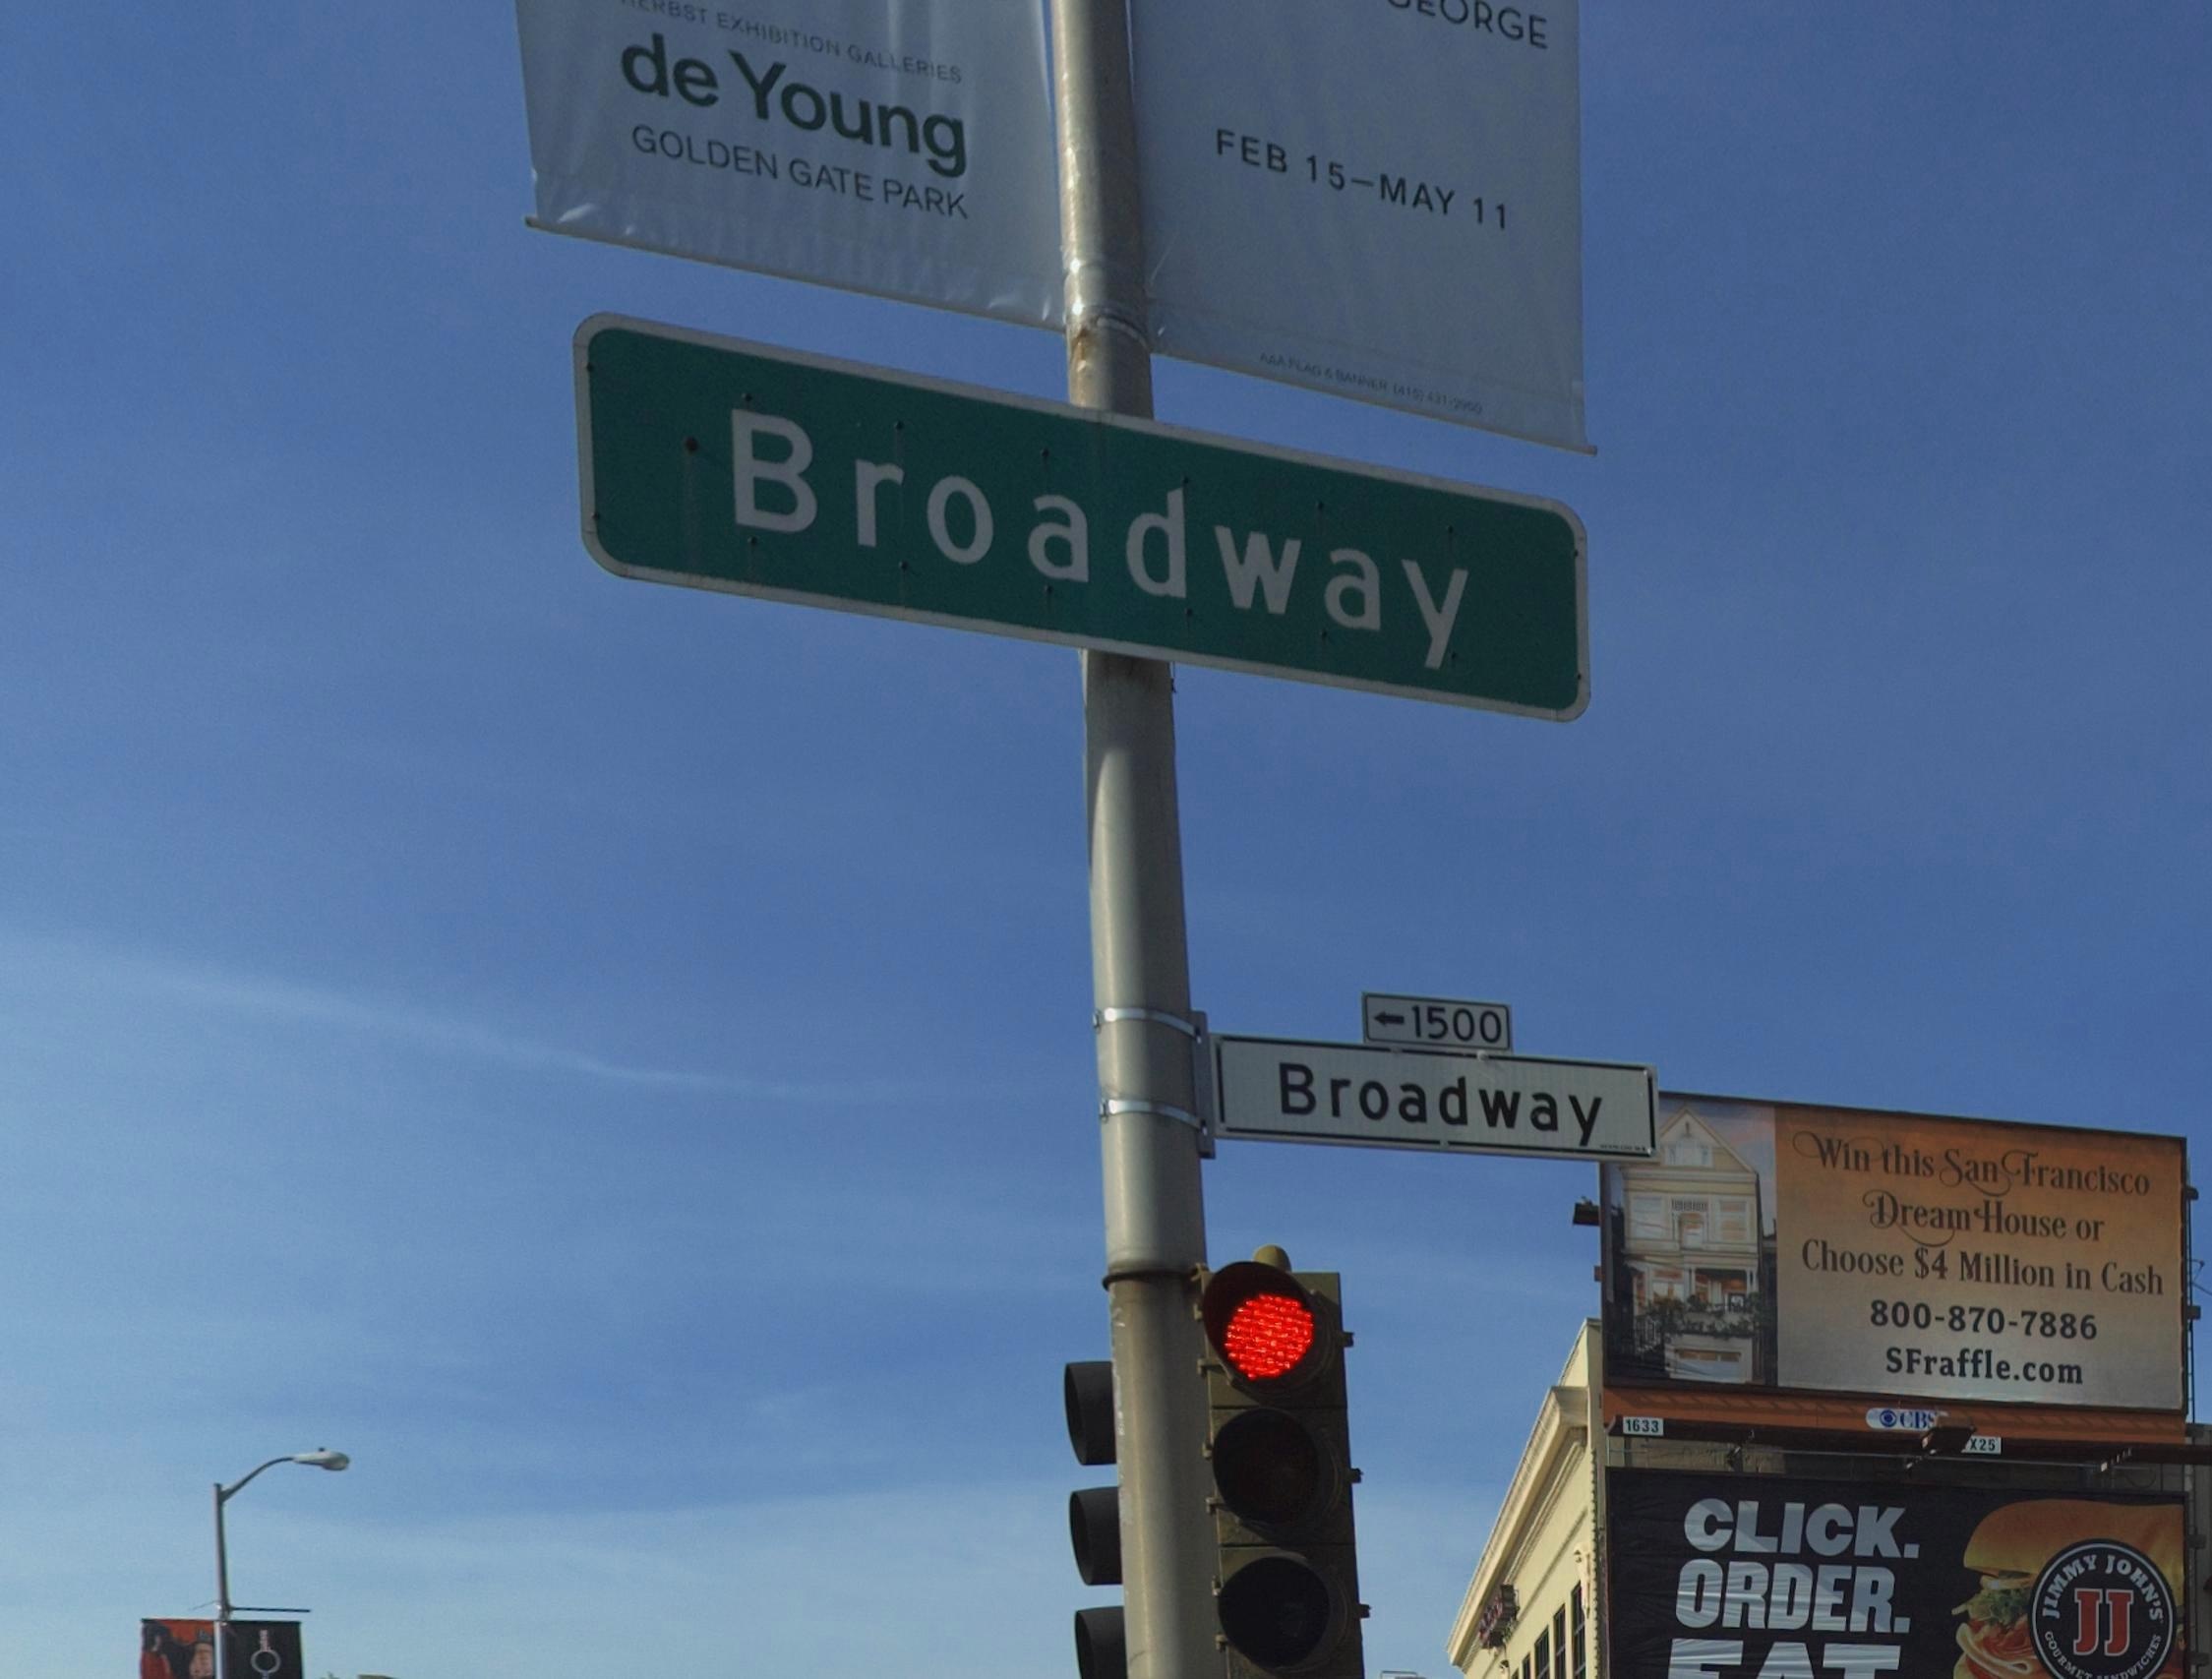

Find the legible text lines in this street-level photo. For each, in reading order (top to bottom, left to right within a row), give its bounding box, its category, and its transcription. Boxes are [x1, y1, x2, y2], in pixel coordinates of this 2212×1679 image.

[680, 0, 967, 89] None: ST EXHIBITION GALLERIES
[1493, 1, 1552, 57] None: GE
[614, 25, 972, 183] None: de Young
[628, 116, 973, 225] None: GOLDEN GATE PARK
[1210, 115, 1513, 238] None: FEB 15-MAY 11
[719, 386, 1494, 682] StreetName: Broadway
[1366, 996, 1506, 1049] StreetNumberRange: <-1500
[1274, 1055, 1619, 1154] StreetName: Broadway
[1788, 1123, 2156, 1201] None: Win this San Francisco
[1856, 1184, 2108, 1245] None: Dream House or
[1798, 1232, 2168, 1300] None: Chosse $4 Million in Cash
[1866, 1295, 2100, 1344] None: 800-870-7886
[1882, 1343, 2087, 1387] None: SFraffle.com
[1622, 1415, 1663, 1436] None: 1633
[1896, 1408, 1930, 1432] None: CB
[1967, 1435, 1998, 1455] None: X25
[1678, 1495, 1925, 1563] None: CLICK.
[1671, 1553, 1917, 1638] None: ORDER.
[2040, 1627, 2082, 1679] None: GOURM
[2036, 1547, 2169, 1625] None: JIMMY JOHN'S
[2068, 1582, 2138, 1662] None: JJ
[2121, 1631, 2163, 1678] None: WICHES